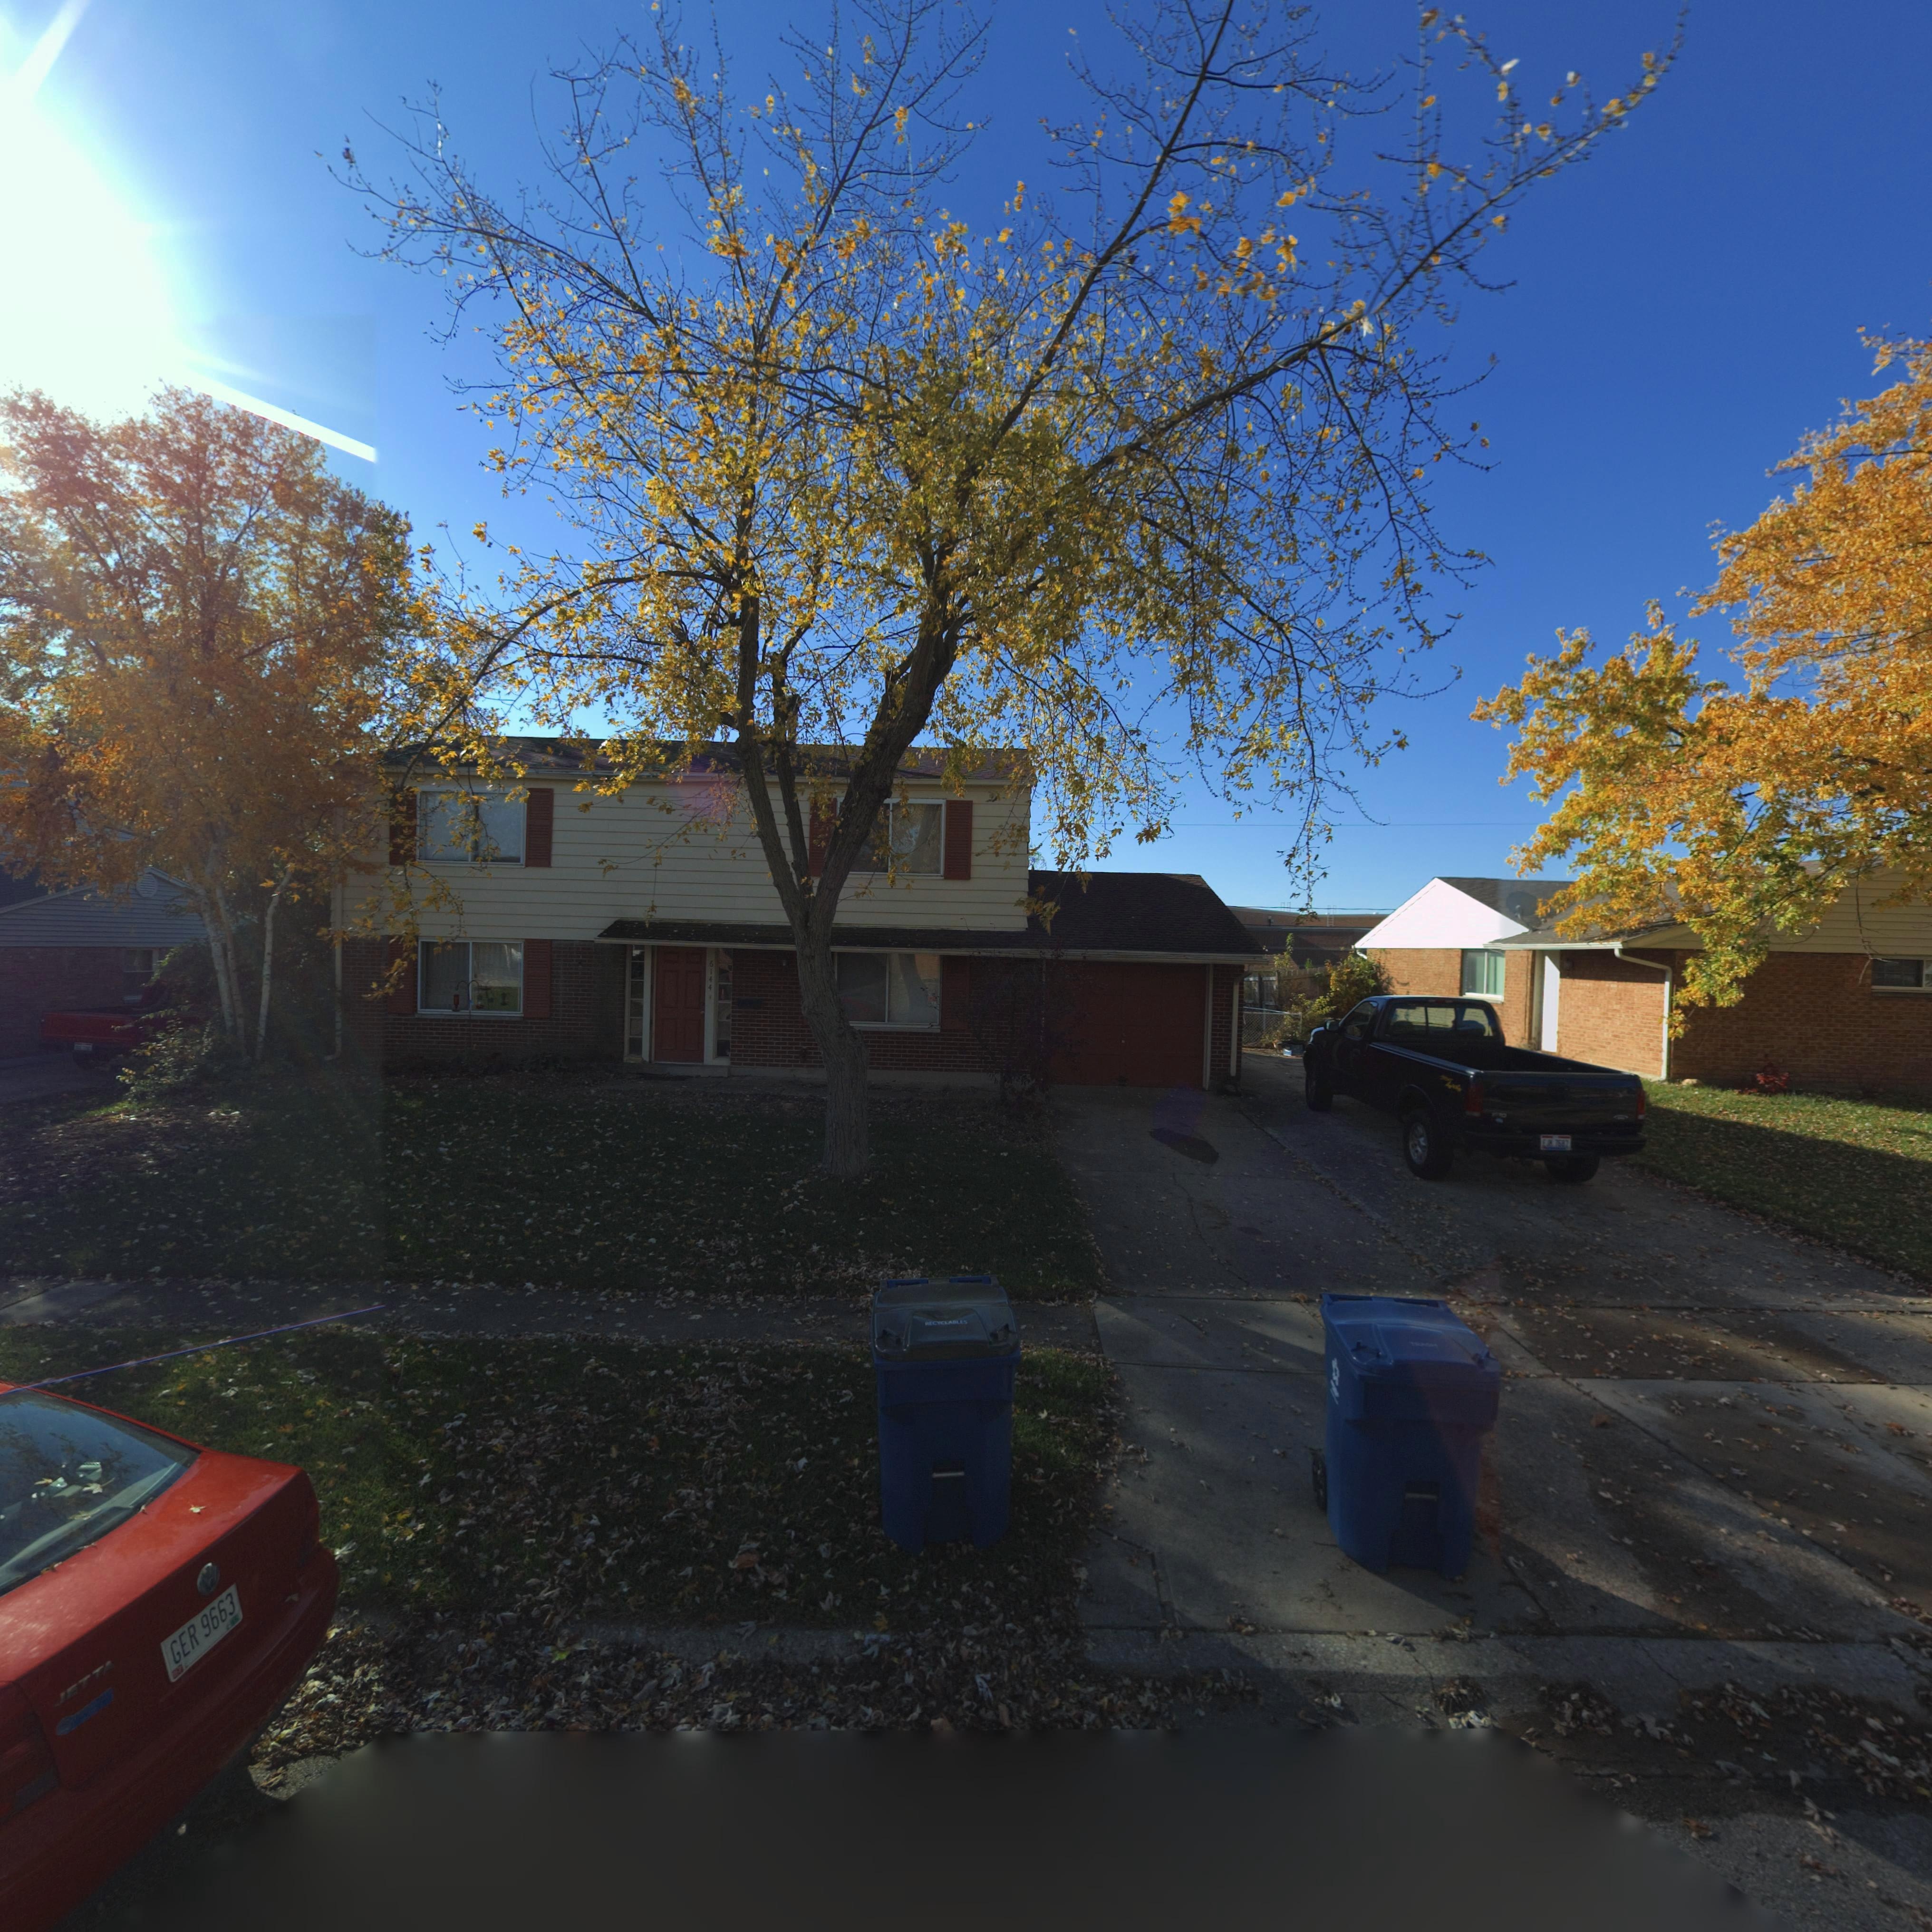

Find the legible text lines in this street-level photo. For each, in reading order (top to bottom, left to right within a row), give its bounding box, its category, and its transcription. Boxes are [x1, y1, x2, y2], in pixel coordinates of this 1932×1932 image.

[707, 959, 714, 991] StreetNumber: 6144